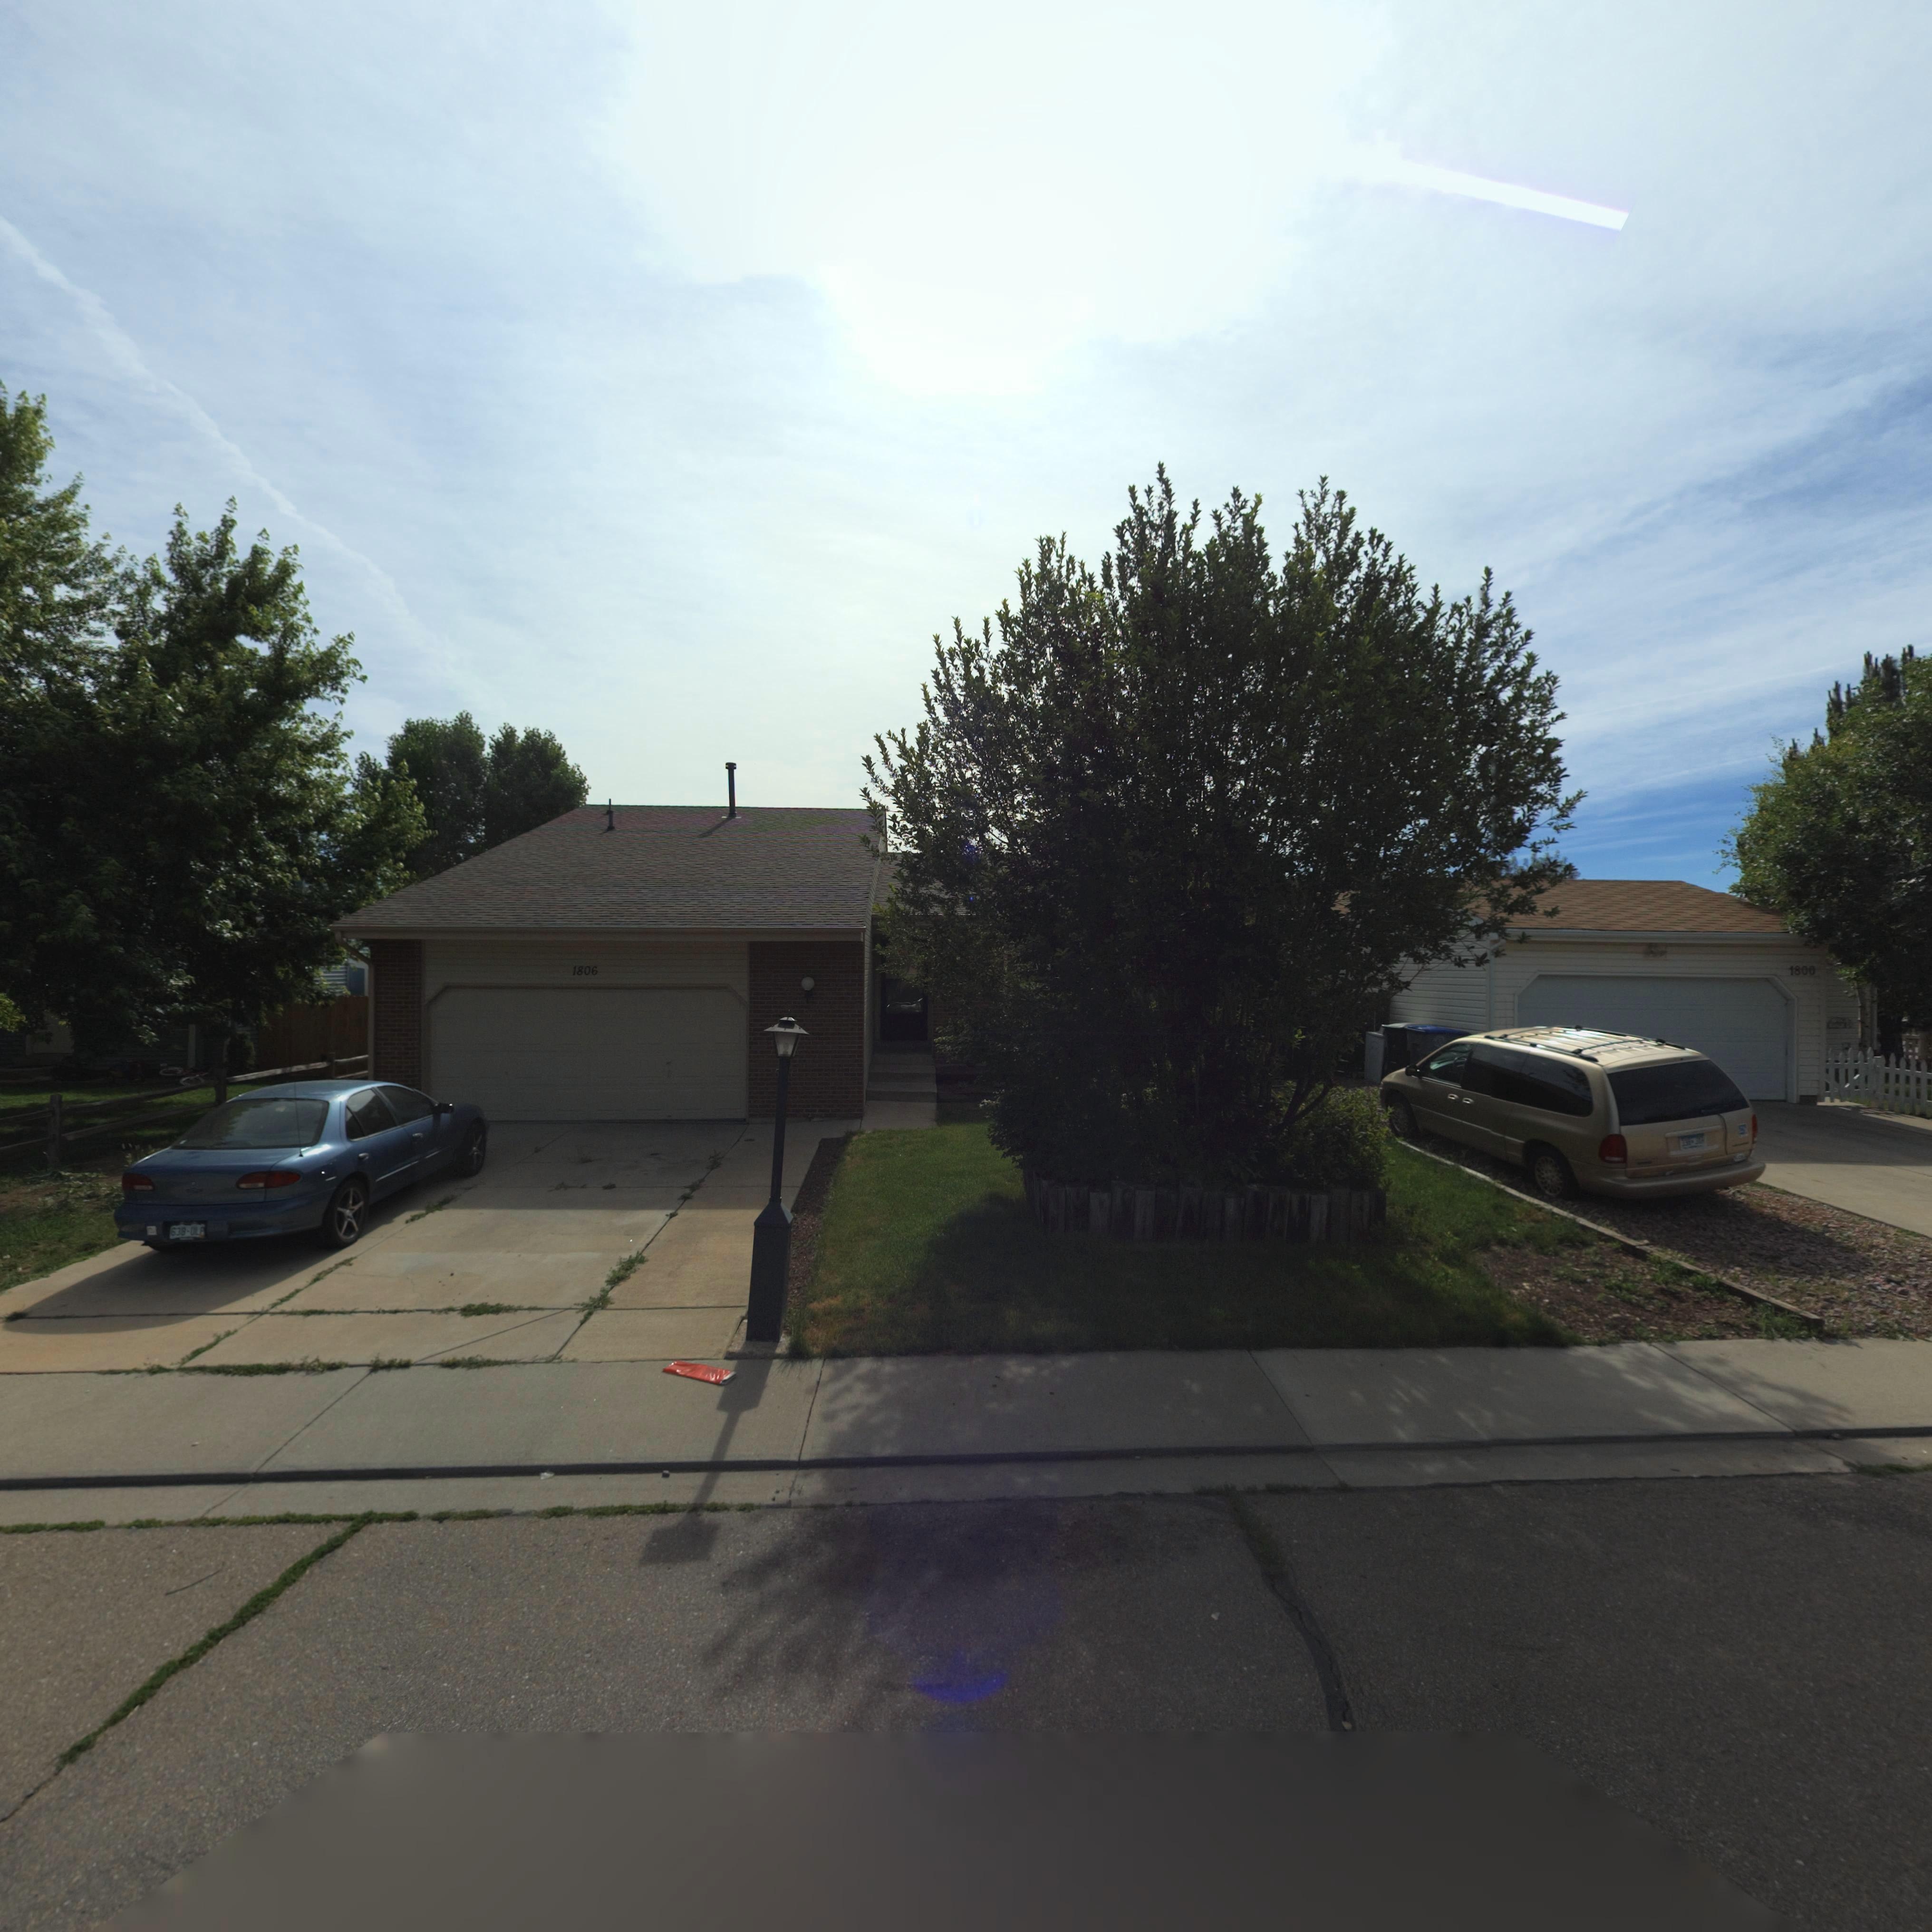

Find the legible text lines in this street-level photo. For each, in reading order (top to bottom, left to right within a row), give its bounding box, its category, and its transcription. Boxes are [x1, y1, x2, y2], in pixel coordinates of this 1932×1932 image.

[572, 965, 597, 976] StreetNumber: 1806
[1789, 966, 1815, 976] StreetNumber: 1800